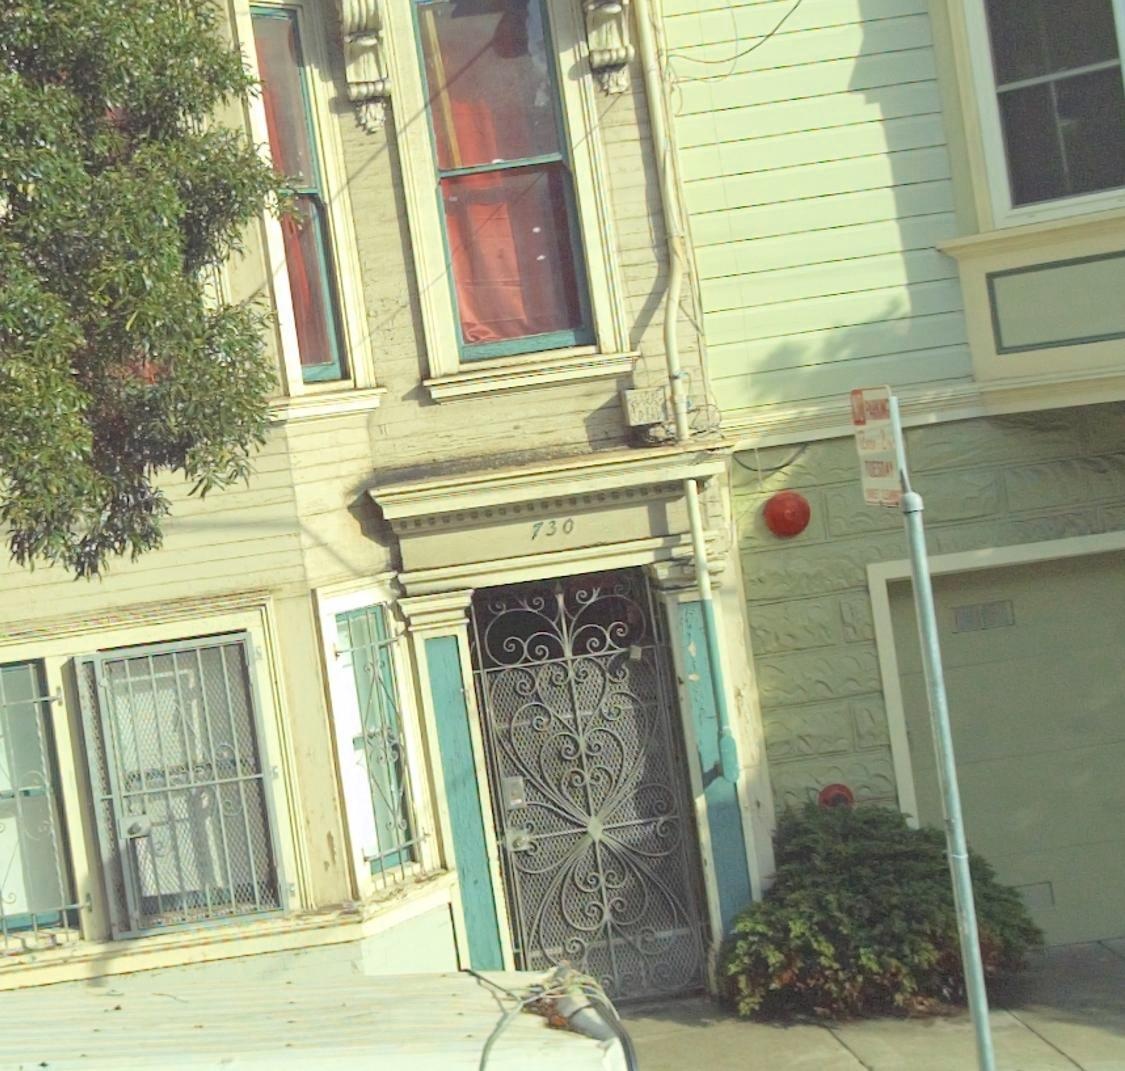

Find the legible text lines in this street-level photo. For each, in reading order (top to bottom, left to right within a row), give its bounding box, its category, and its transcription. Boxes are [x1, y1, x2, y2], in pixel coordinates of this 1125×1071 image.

[528, 515, 577, 544] StreetNumber: 730